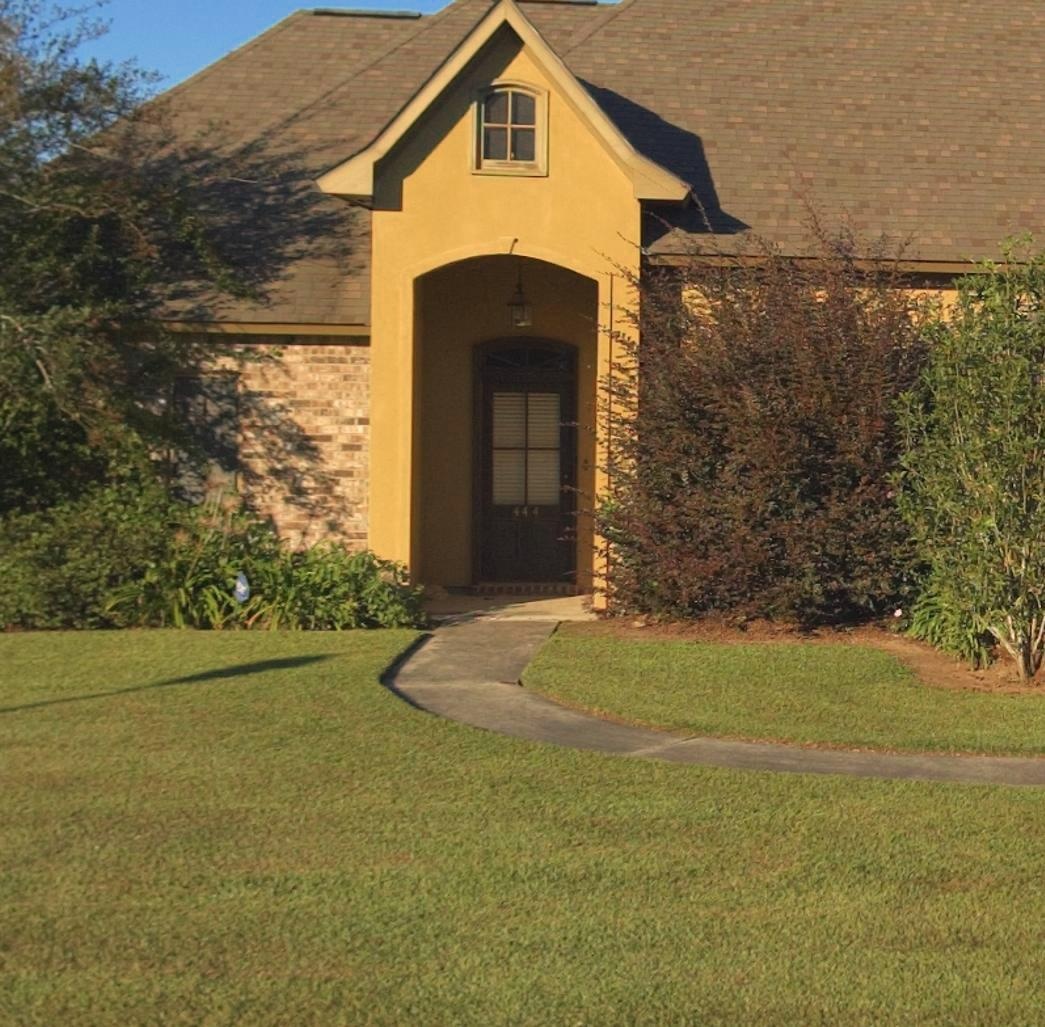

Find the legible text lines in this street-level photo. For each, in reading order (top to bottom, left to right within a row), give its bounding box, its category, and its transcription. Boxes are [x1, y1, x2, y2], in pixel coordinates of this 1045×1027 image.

[511, 505, 540, 518] StreetNumber: 444